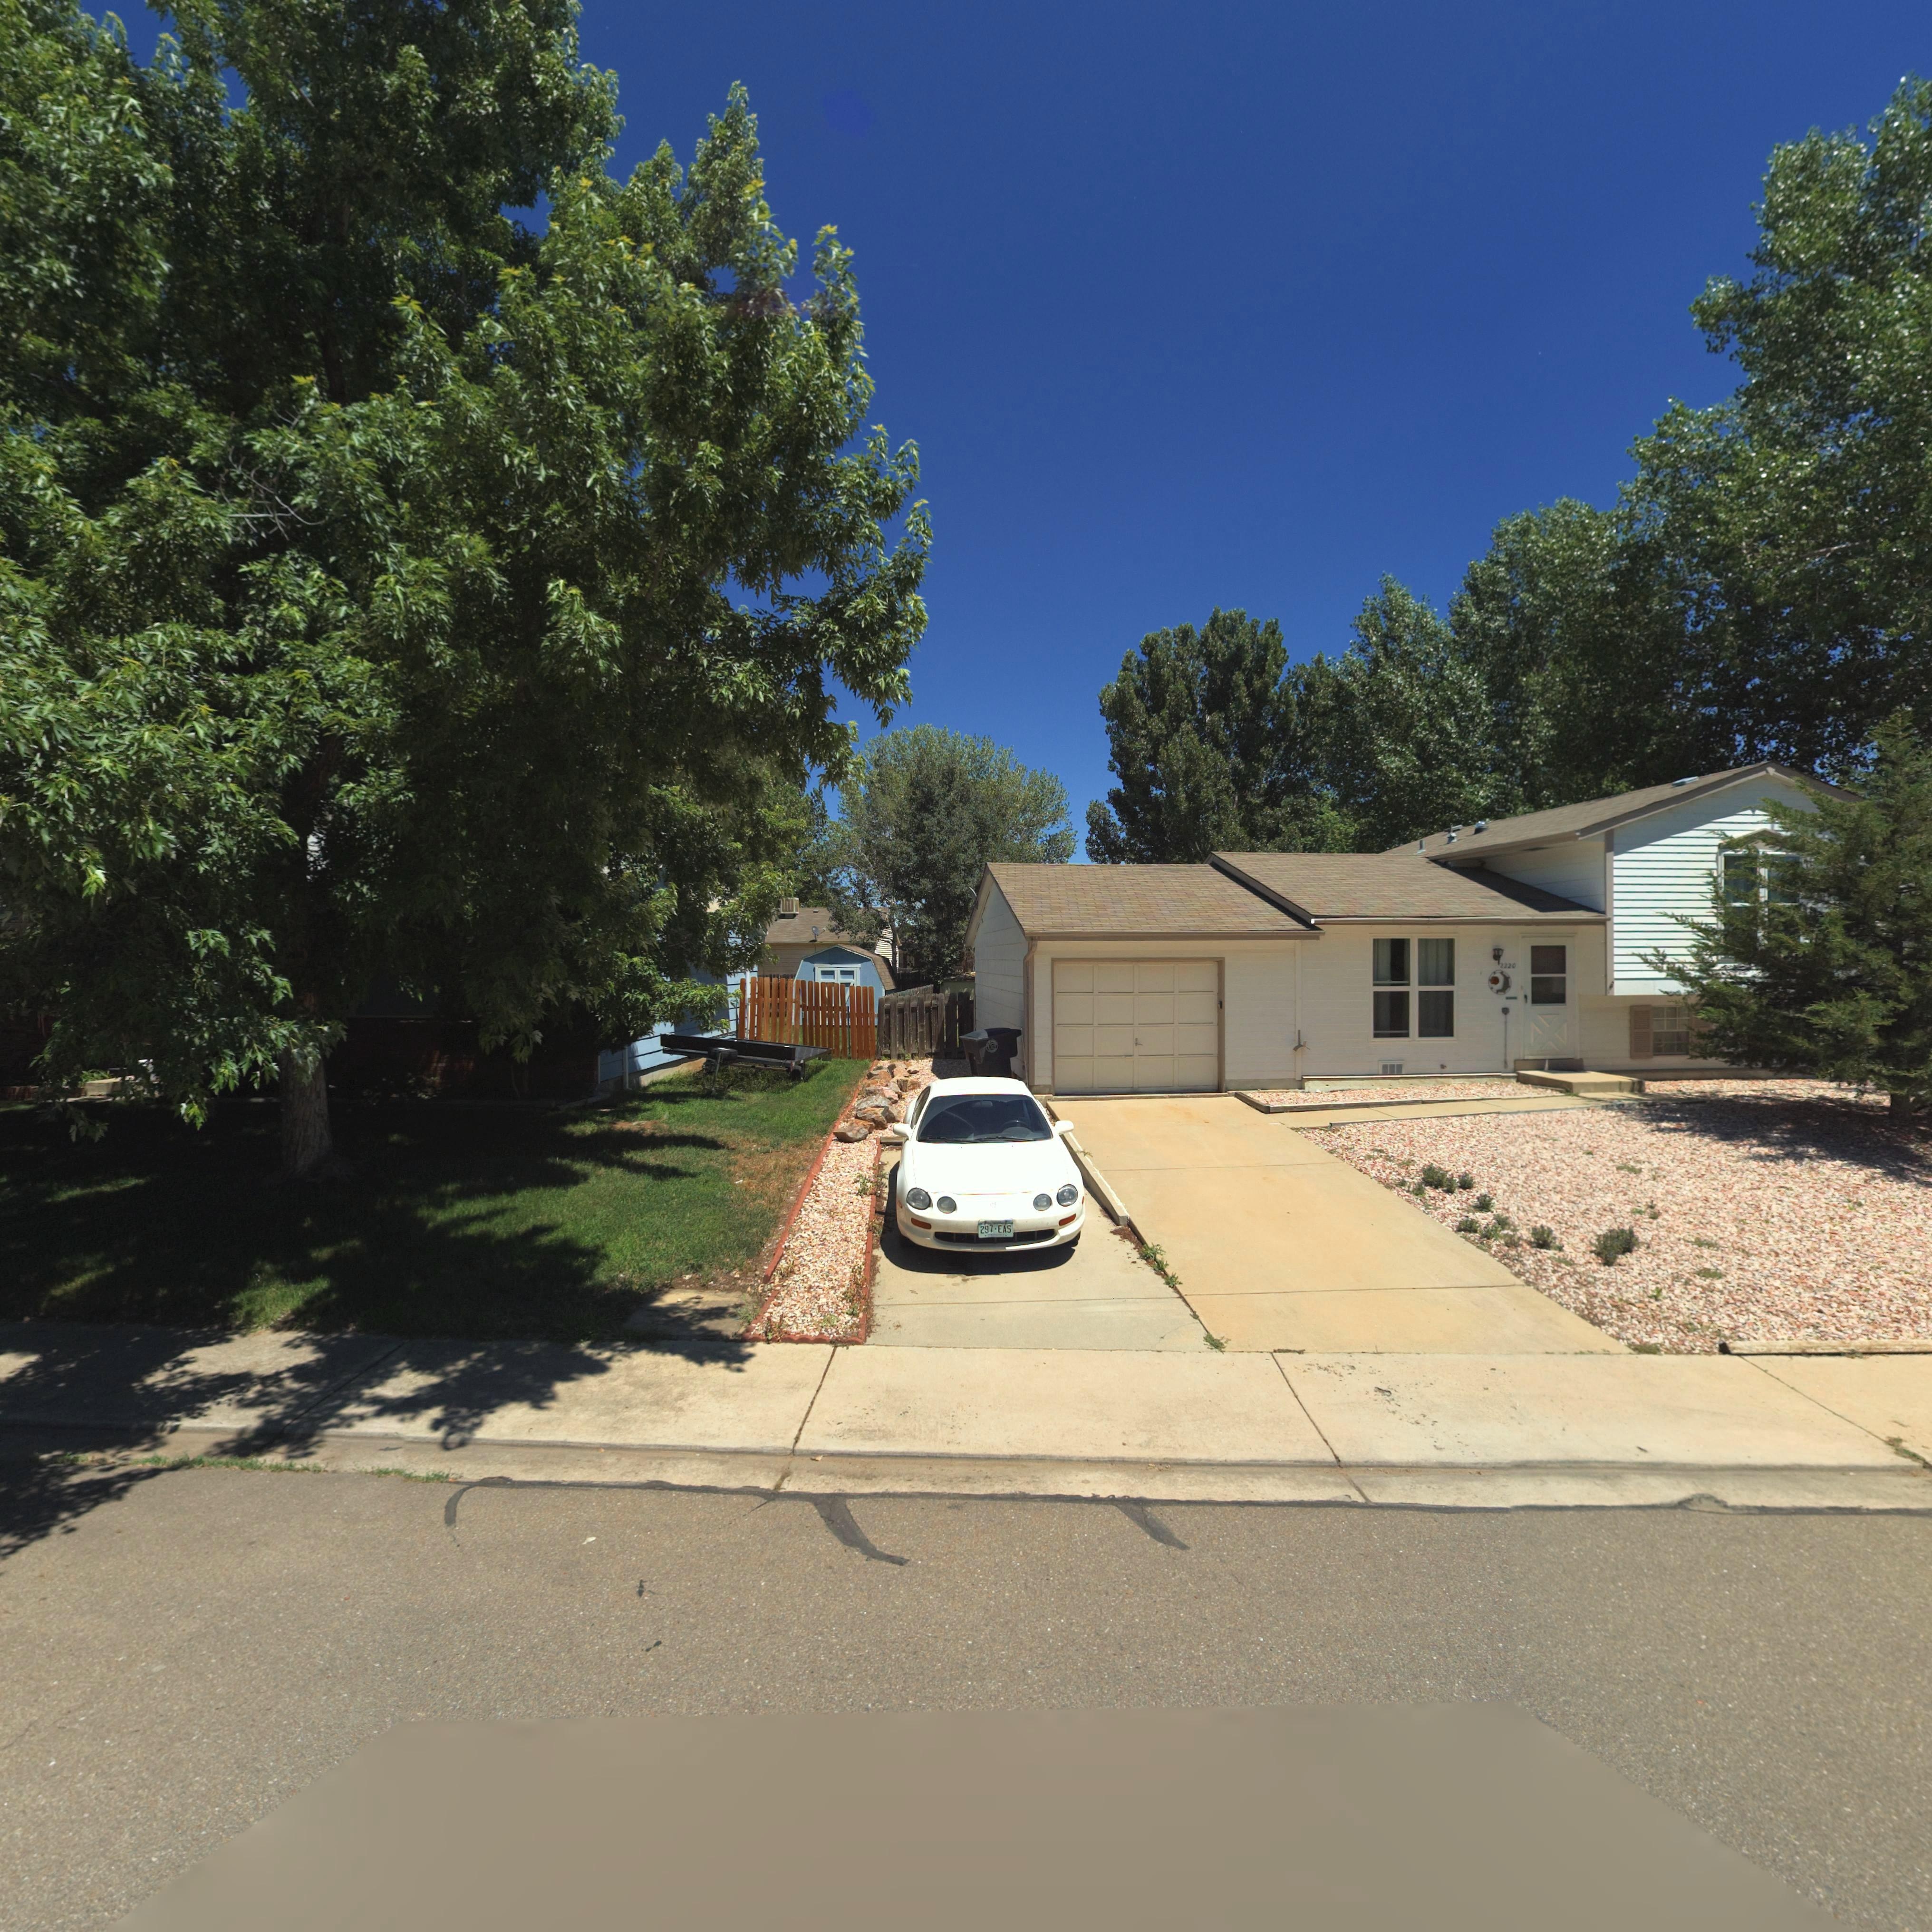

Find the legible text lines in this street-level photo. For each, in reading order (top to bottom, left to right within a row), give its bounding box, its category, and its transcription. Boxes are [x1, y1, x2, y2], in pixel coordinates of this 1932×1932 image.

[1500, 962, 1517, 968] StreetName: 2220